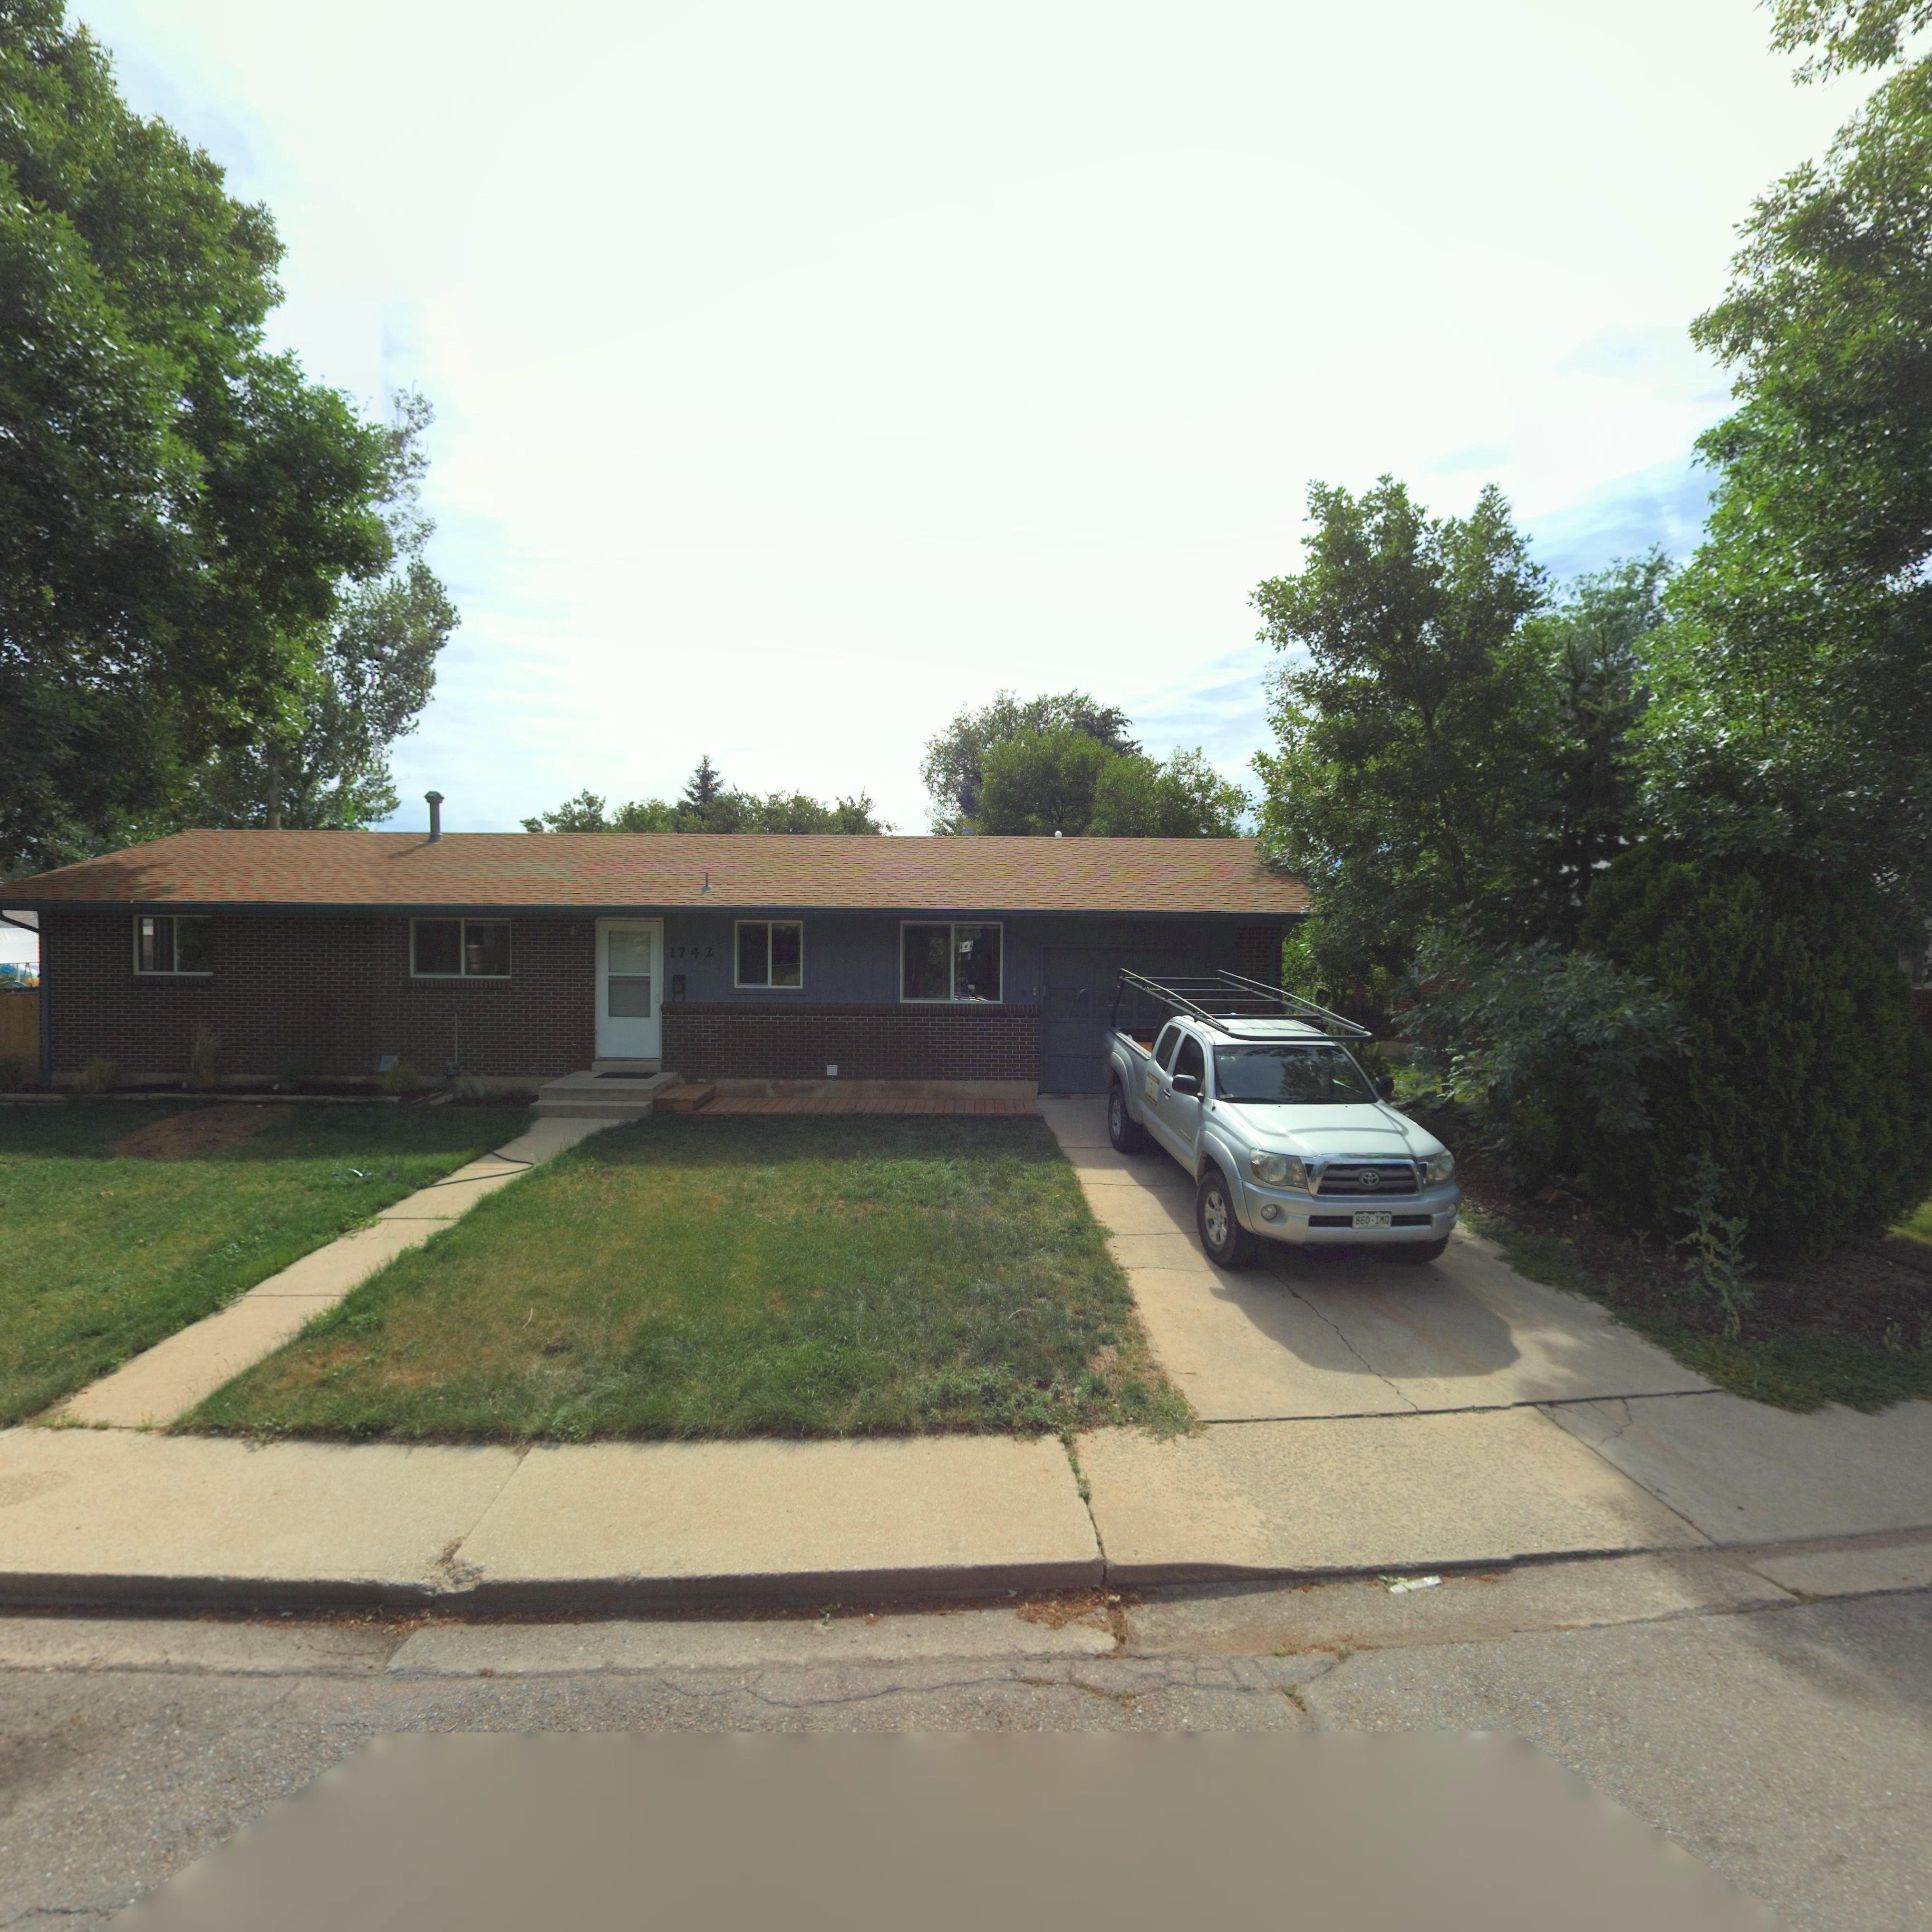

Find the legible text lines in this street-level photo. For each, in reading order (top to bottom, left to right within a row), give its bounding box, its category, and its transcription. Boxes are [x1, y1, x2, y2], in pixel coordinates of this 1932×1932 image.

[669, 945, 715, 959] StreetNumber: 1742